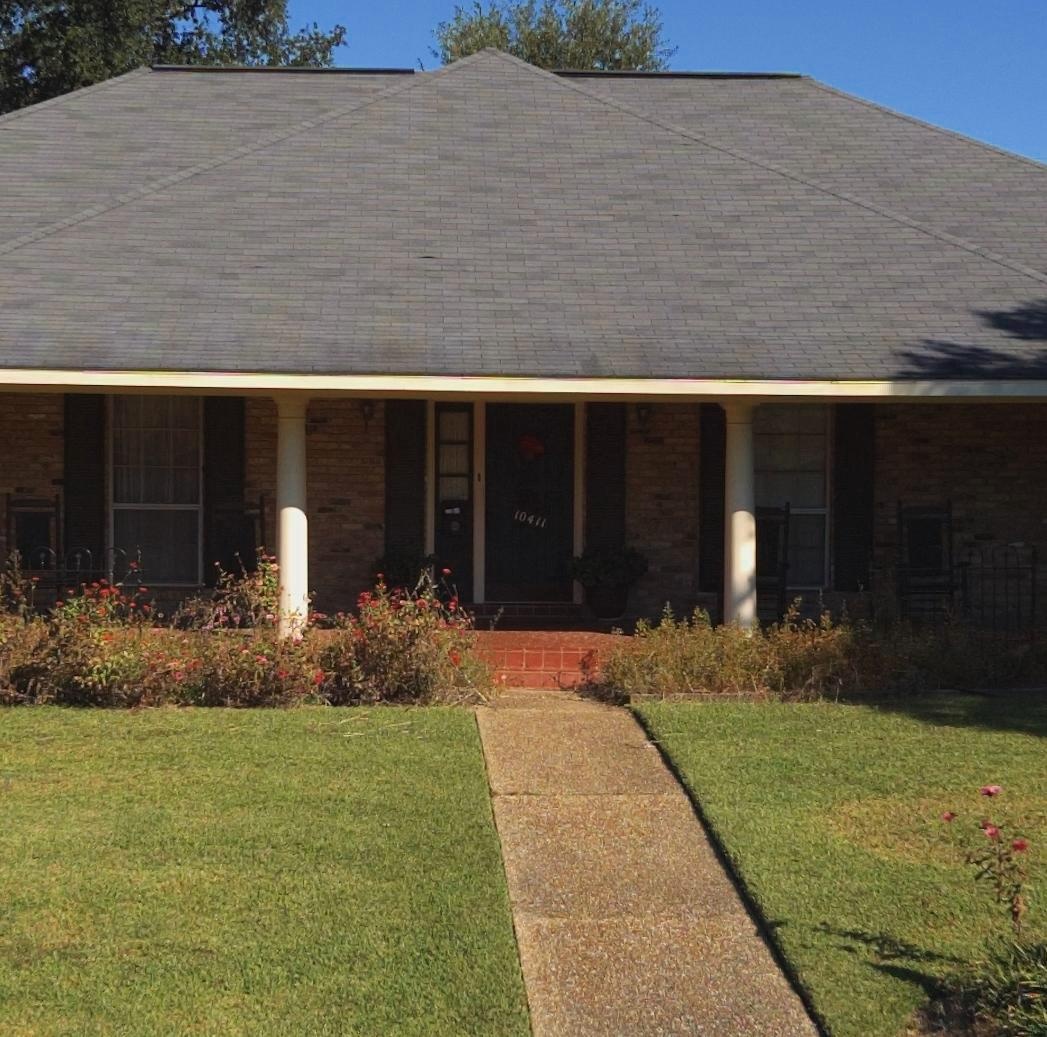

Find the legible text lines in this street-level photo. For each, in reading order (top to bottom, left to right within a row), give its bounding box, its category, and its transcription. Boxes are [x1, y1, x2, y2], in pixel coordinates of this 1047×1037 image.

[509, 507, 551, 531] StreetNumber: 10411